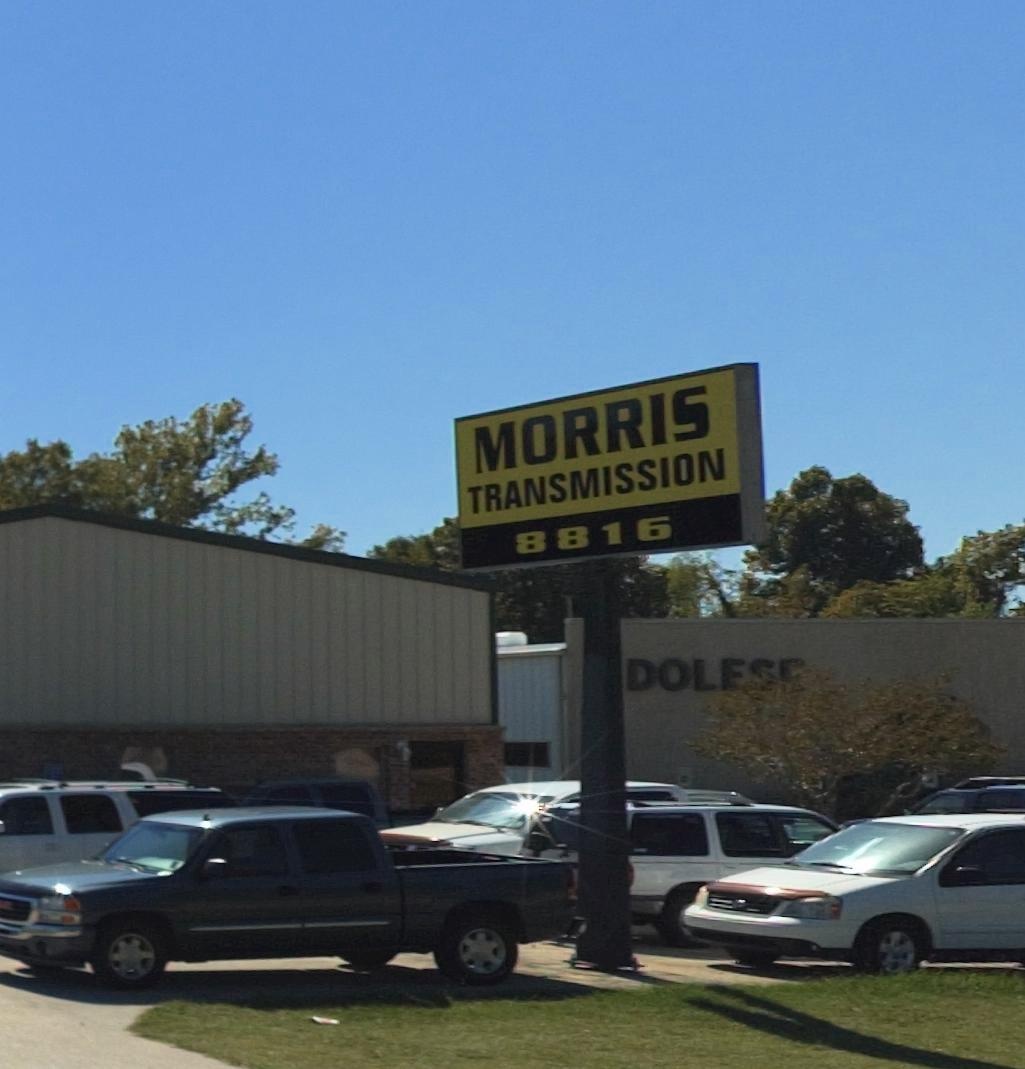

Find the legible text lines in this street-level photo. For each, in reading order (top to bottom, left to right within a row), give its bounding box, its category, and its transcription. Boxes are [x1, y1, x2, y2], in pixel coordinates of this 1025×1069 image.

[472, 384, 712, 476] BusinessName: MORRIS
[466, 445, 728, 515] BusinessName: TRANSMISSION
[514, 514, 675, 556] StreetNumber: 8816
[624, 657, 810, 692] BusinessName: DOLE**